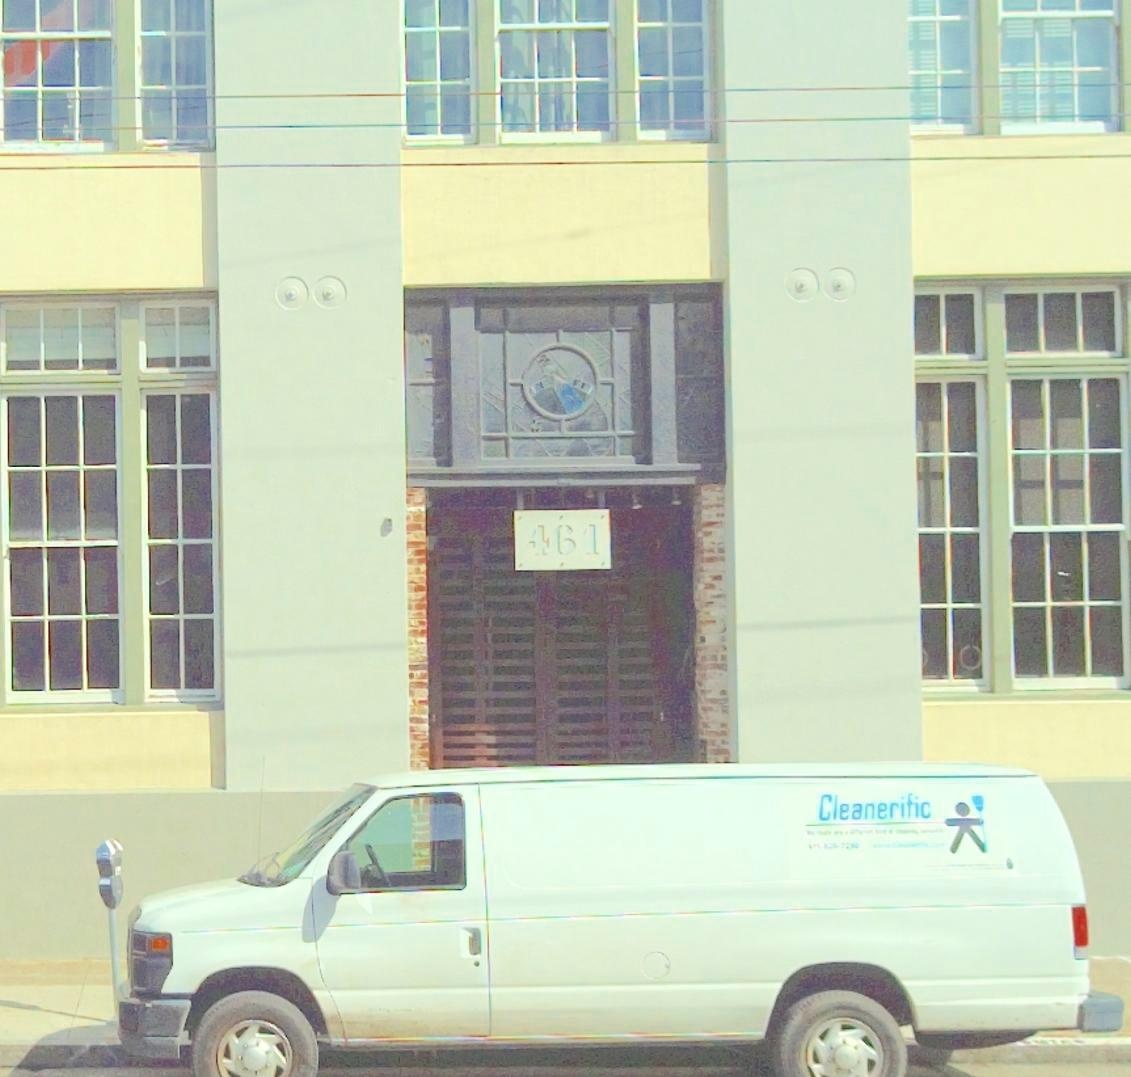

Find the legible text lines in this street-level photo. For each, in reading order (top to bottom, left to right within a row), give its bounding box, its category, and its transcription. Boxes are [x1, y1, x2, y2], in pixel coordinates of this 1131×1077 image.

[516, 519, 605, 562] StreetNumber: 461
[814, 789, 937, 825] None: Cleanerific